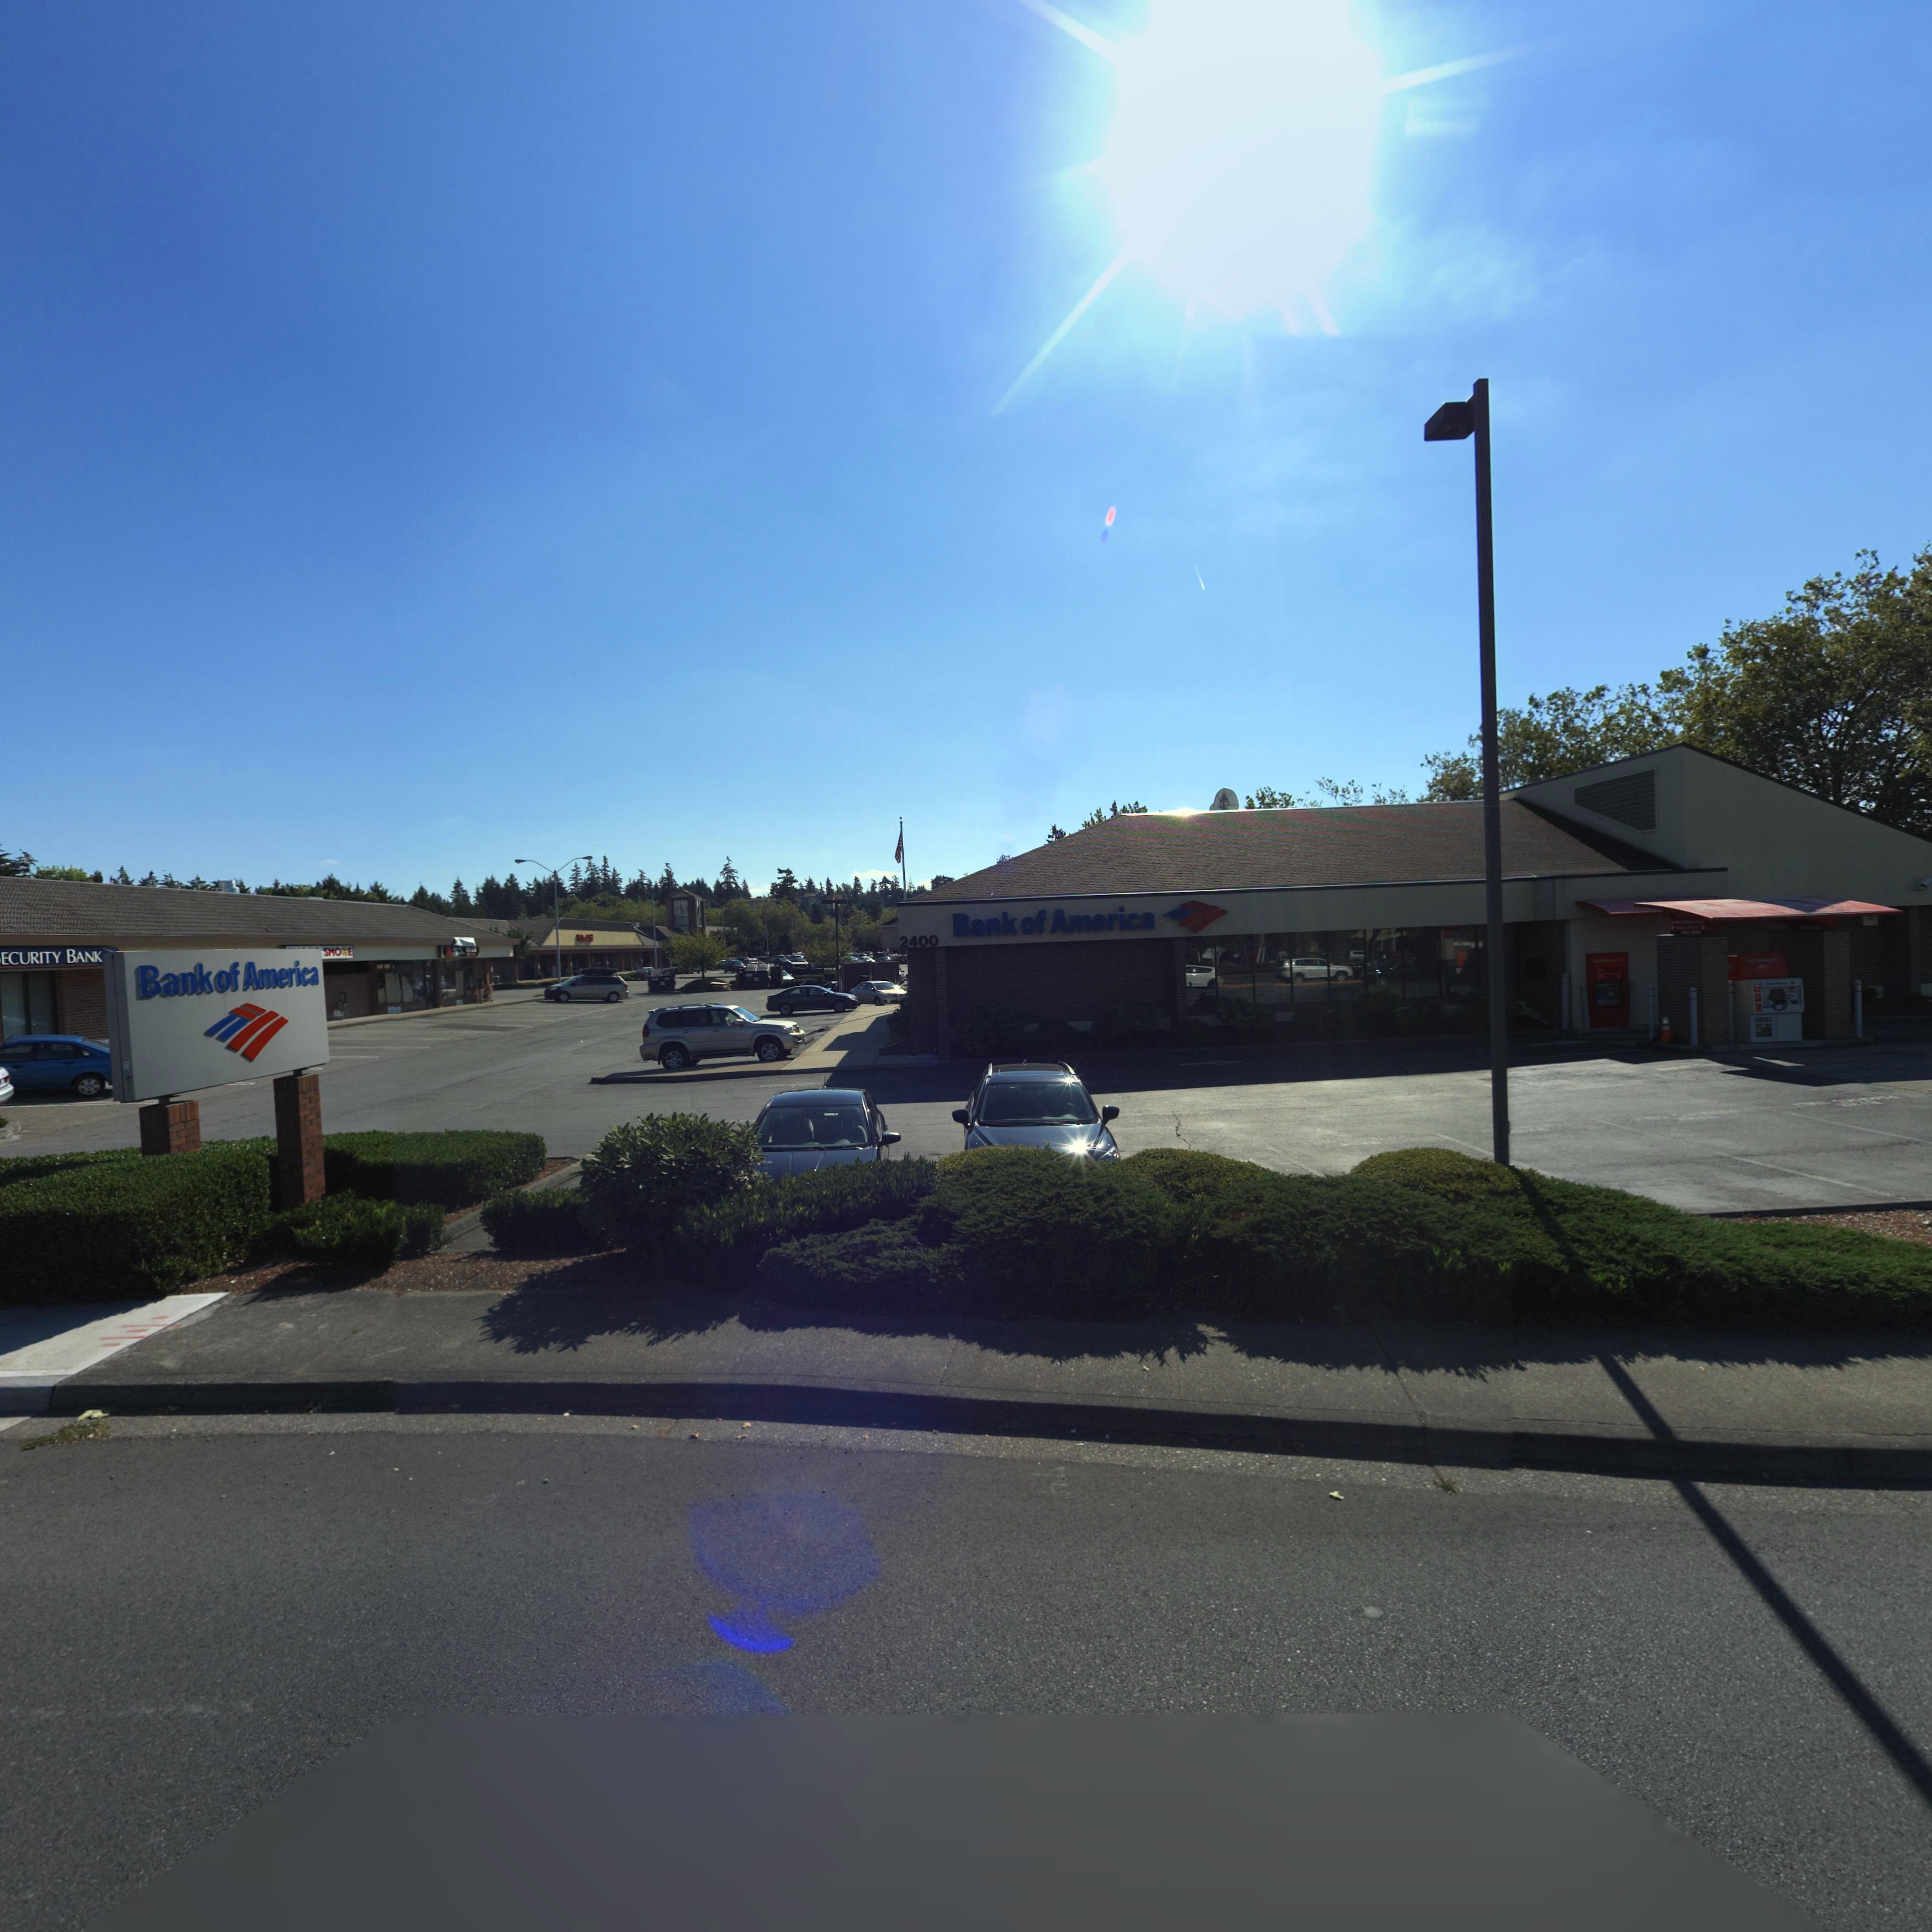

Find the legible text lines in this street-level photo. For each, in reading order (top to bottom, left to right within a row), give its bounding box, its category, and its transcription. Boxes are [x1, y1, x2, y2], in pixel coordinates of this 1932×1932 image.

[951, 905, 1156, 938] BusinessName: Bank of America
[899, 934, 939, 947] StreetNumber: 2400
[0, 947, 103, 964] BusinessName: ECURITY BANK
[323, 946, 353, 957] BusinessName: SMO*E
[135, 957, 321, 1002] BusinessName: Bank of America